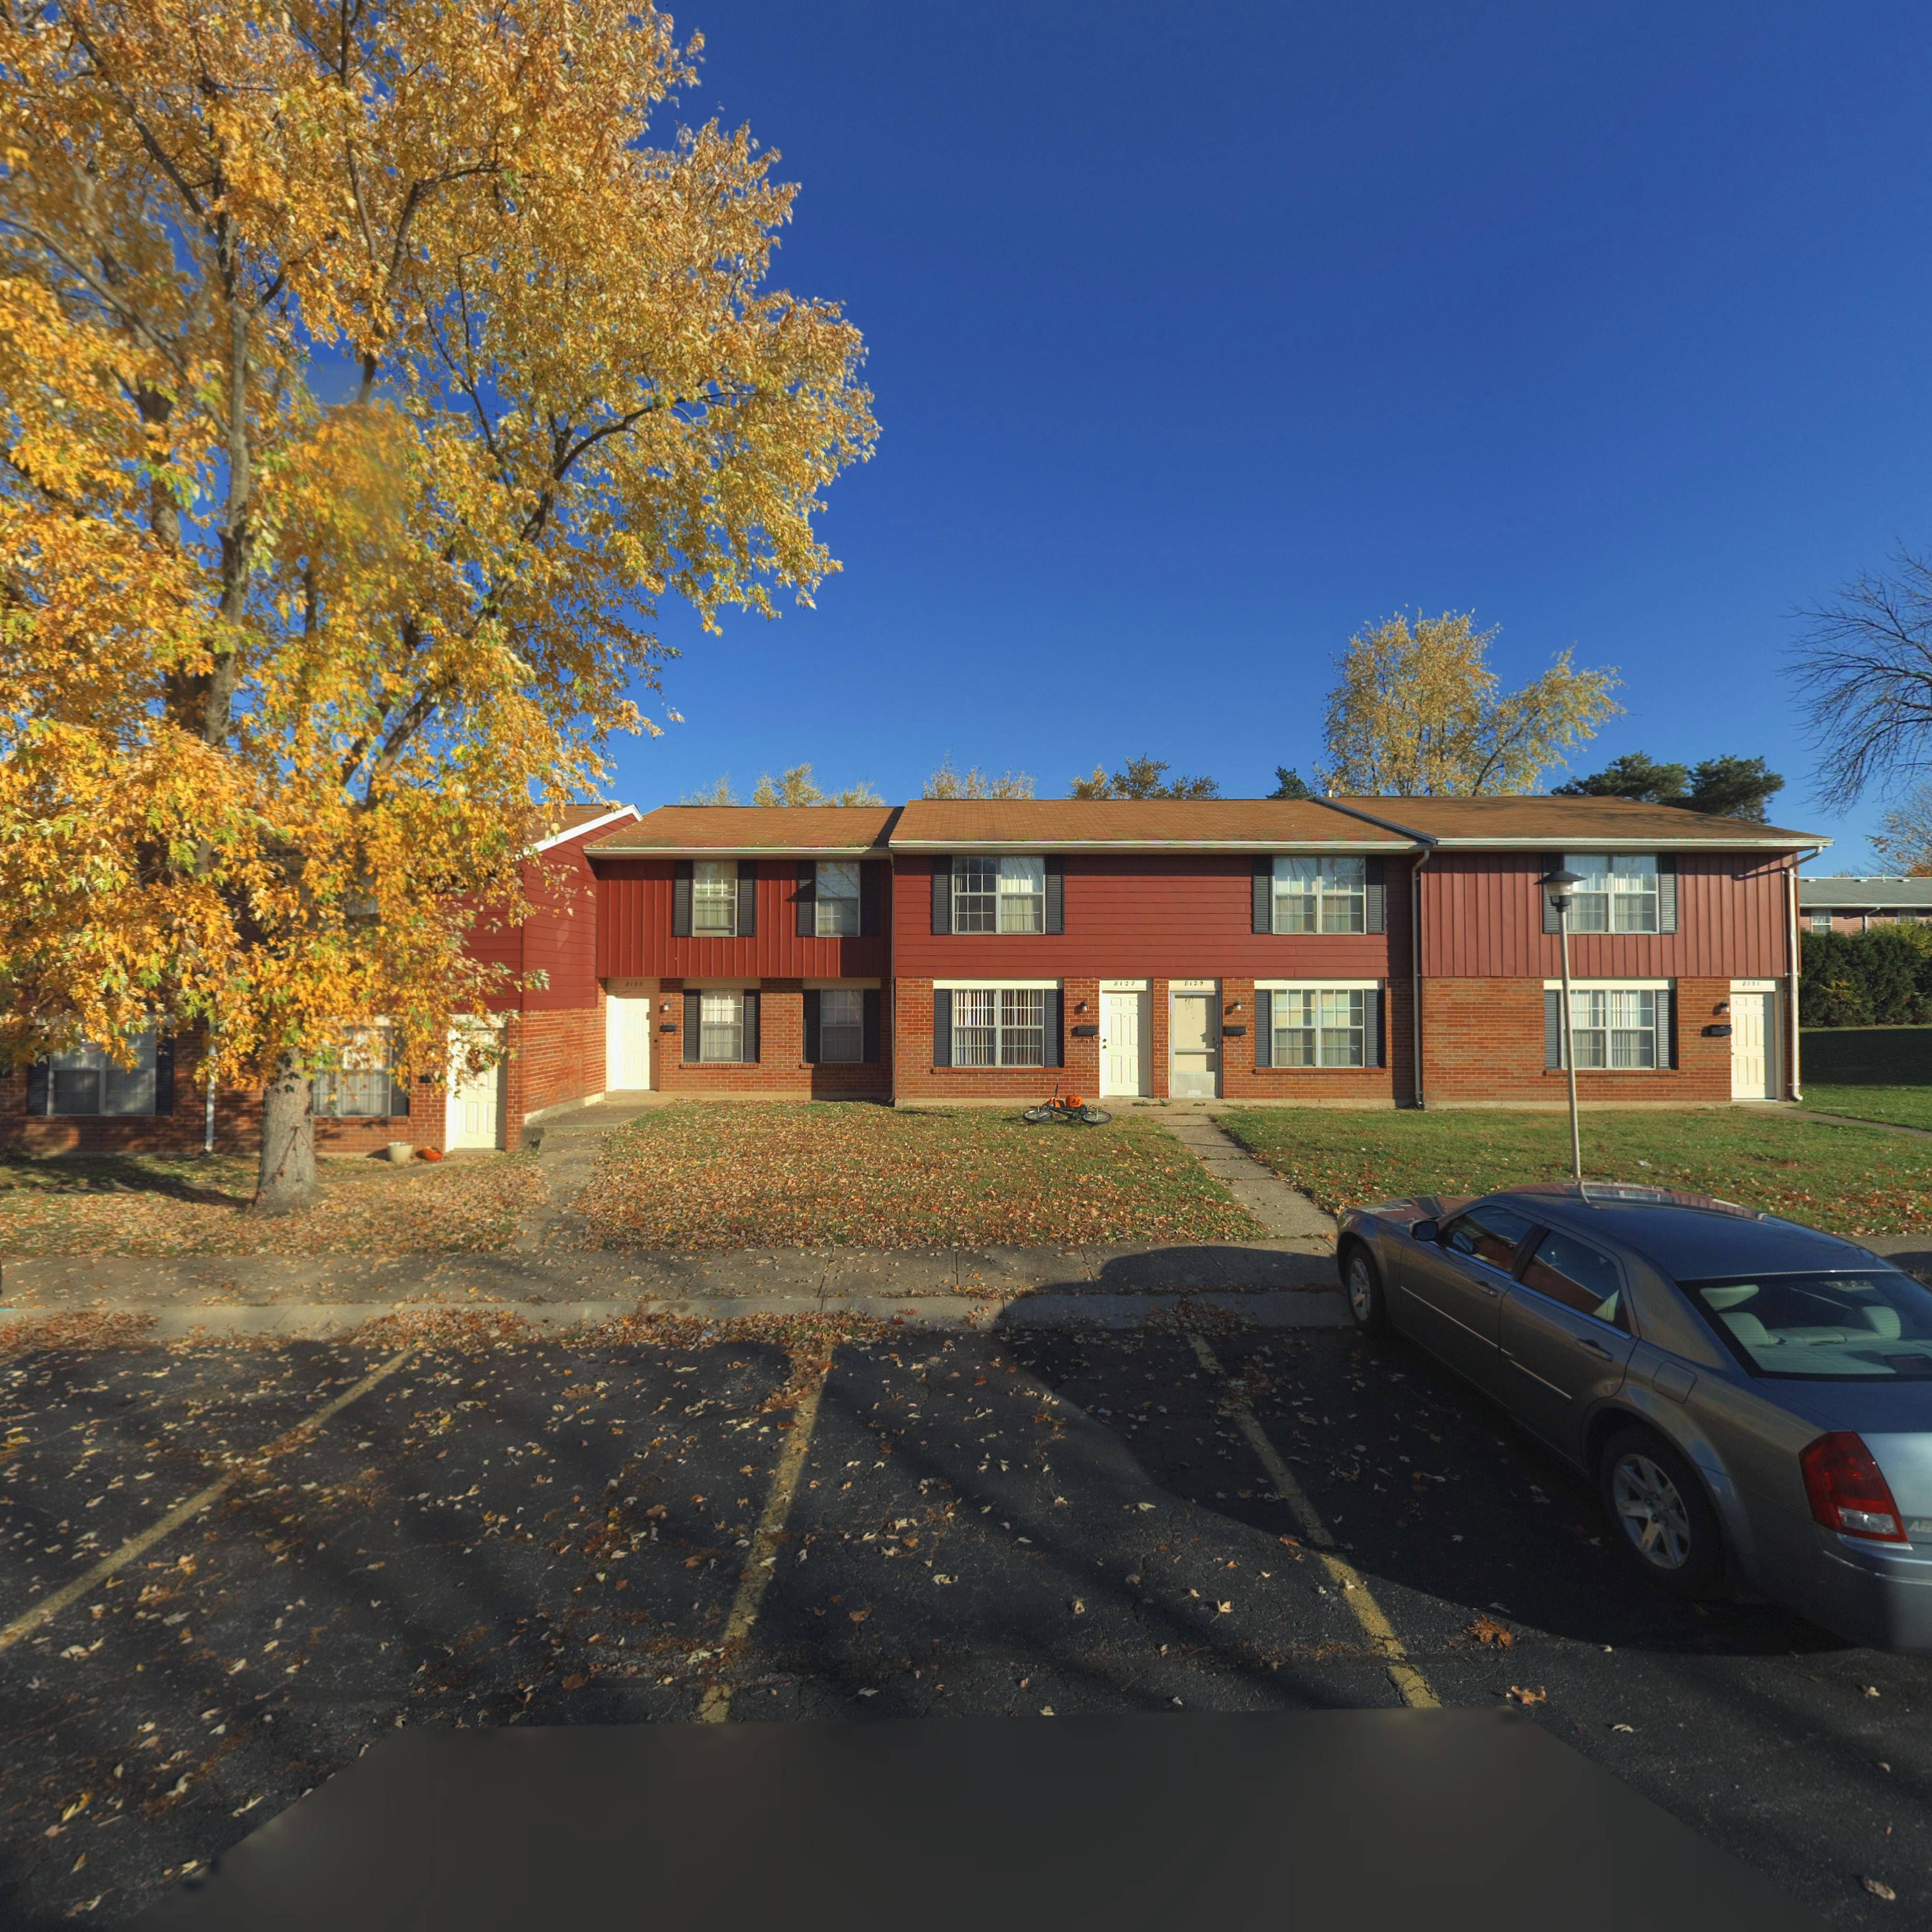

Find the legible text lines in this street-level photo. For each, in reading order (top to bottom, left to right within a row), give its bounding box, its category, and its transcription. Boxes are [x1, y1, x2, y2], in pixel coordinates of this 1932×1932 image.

[625, 981, 644, 988] StreetNumber: 812*
[1113, 980, 1136, 987] StreetNumber: 8127
[1183, 979, 1204, 987] StreetNumber: 8129
[1741, 979, 1760, 988] StreetNumber: *131